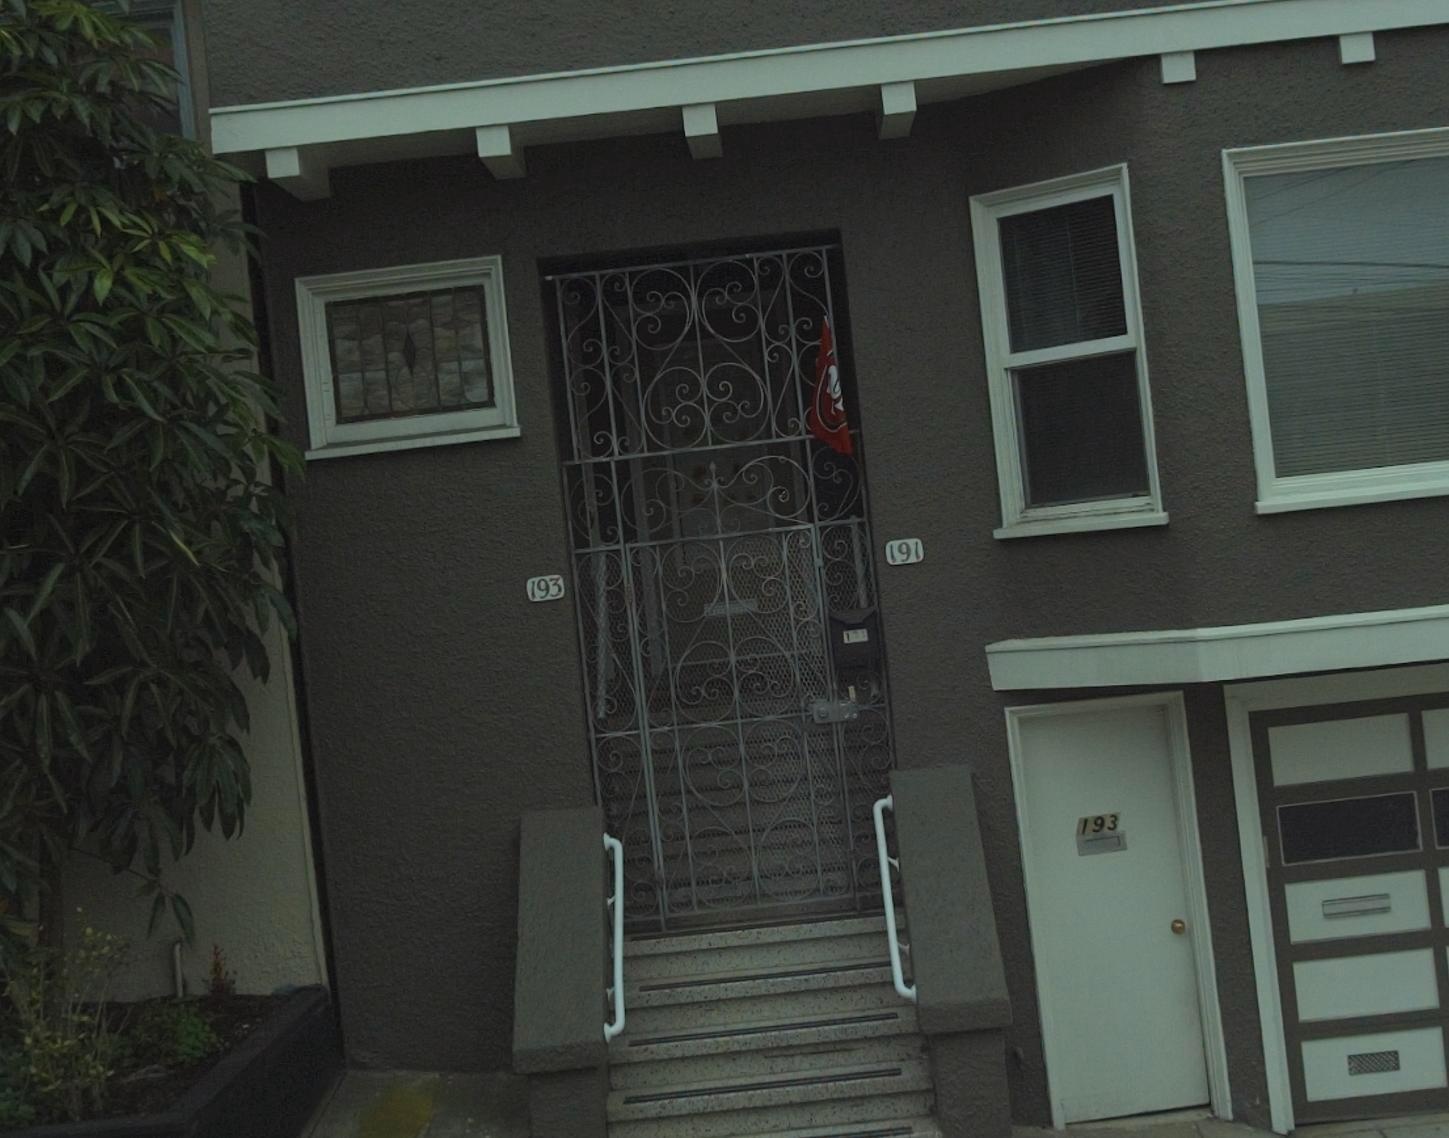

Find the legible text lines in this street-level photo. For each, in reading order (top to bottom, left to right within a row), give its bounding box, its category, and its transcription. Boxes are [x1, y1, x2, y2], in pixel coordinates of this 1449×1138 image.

[886, 538, 925, 567] StreetNumber: 191
[529, 574, 565, 602] StreetNumber: 193
[1076, 812, 1120, 837] StreetNumber: 193